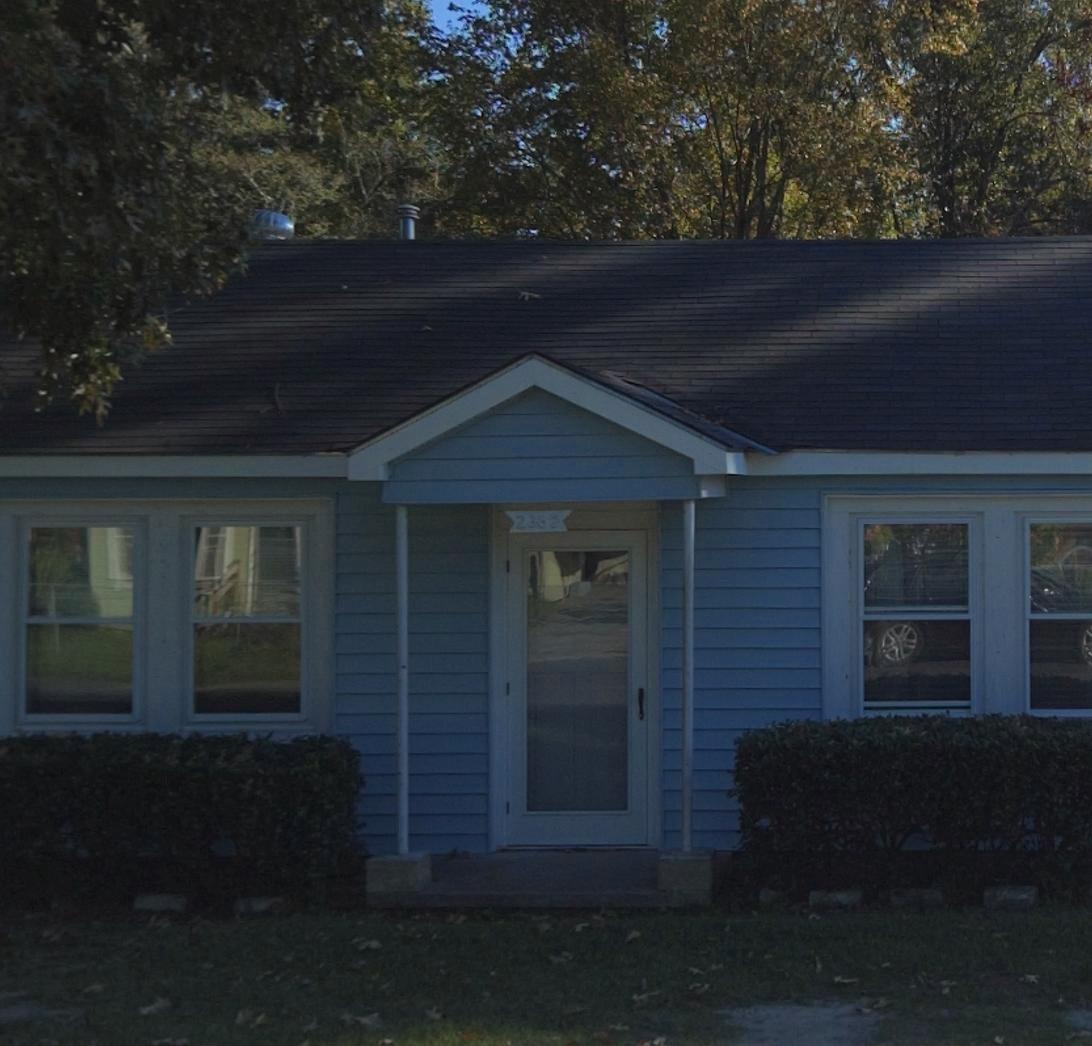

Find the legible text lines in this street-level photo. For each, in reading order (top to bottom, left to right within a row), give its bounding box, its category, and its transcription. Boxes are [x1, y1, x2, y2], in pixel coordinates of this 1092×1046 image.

[515, 513, 561, 531] StreetNumber: 2362